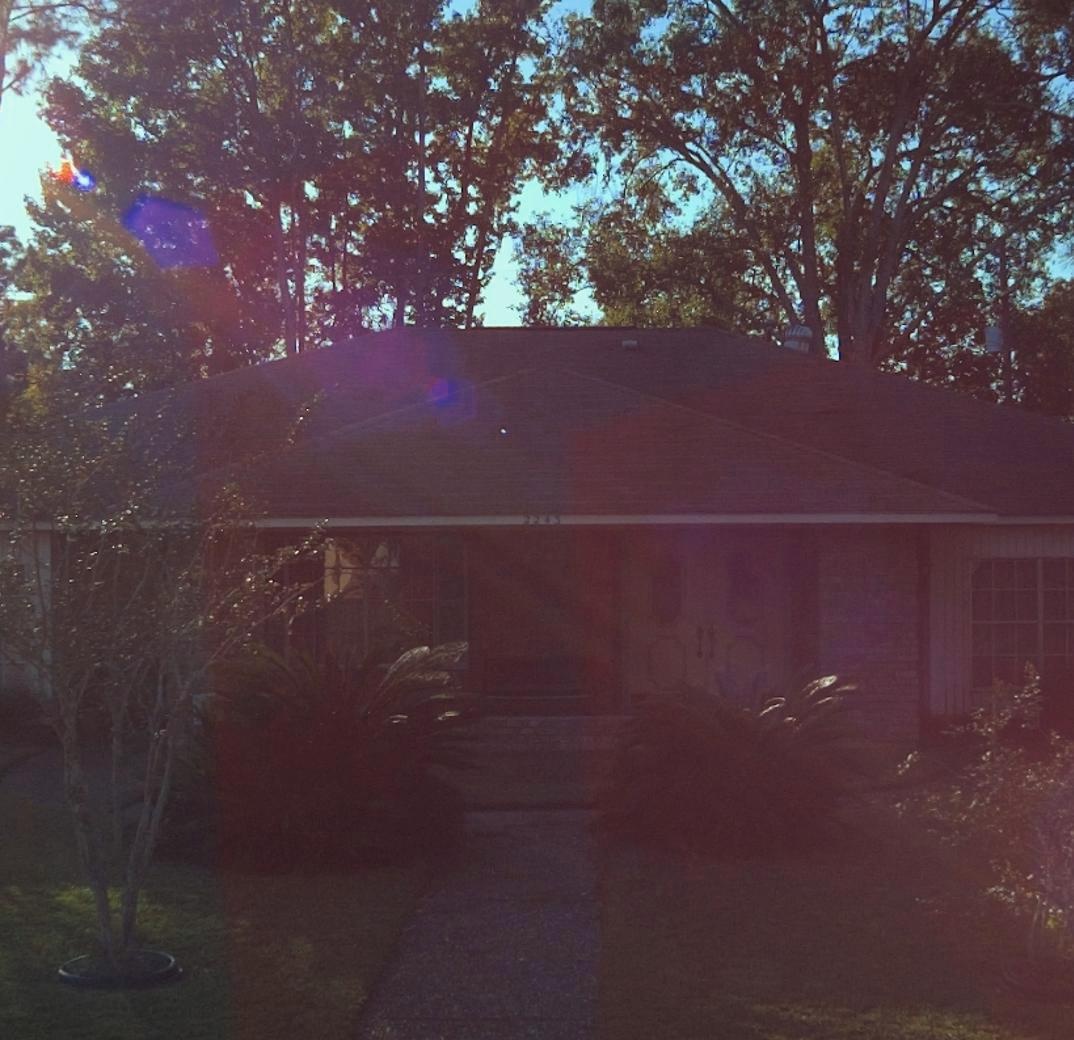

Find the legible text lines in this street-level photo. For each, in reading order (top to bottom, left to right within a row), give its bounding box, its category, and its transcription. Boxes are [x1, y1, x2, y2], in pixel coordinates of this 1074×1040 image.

[524, 513, 562, 525] StreetNumber: 2243